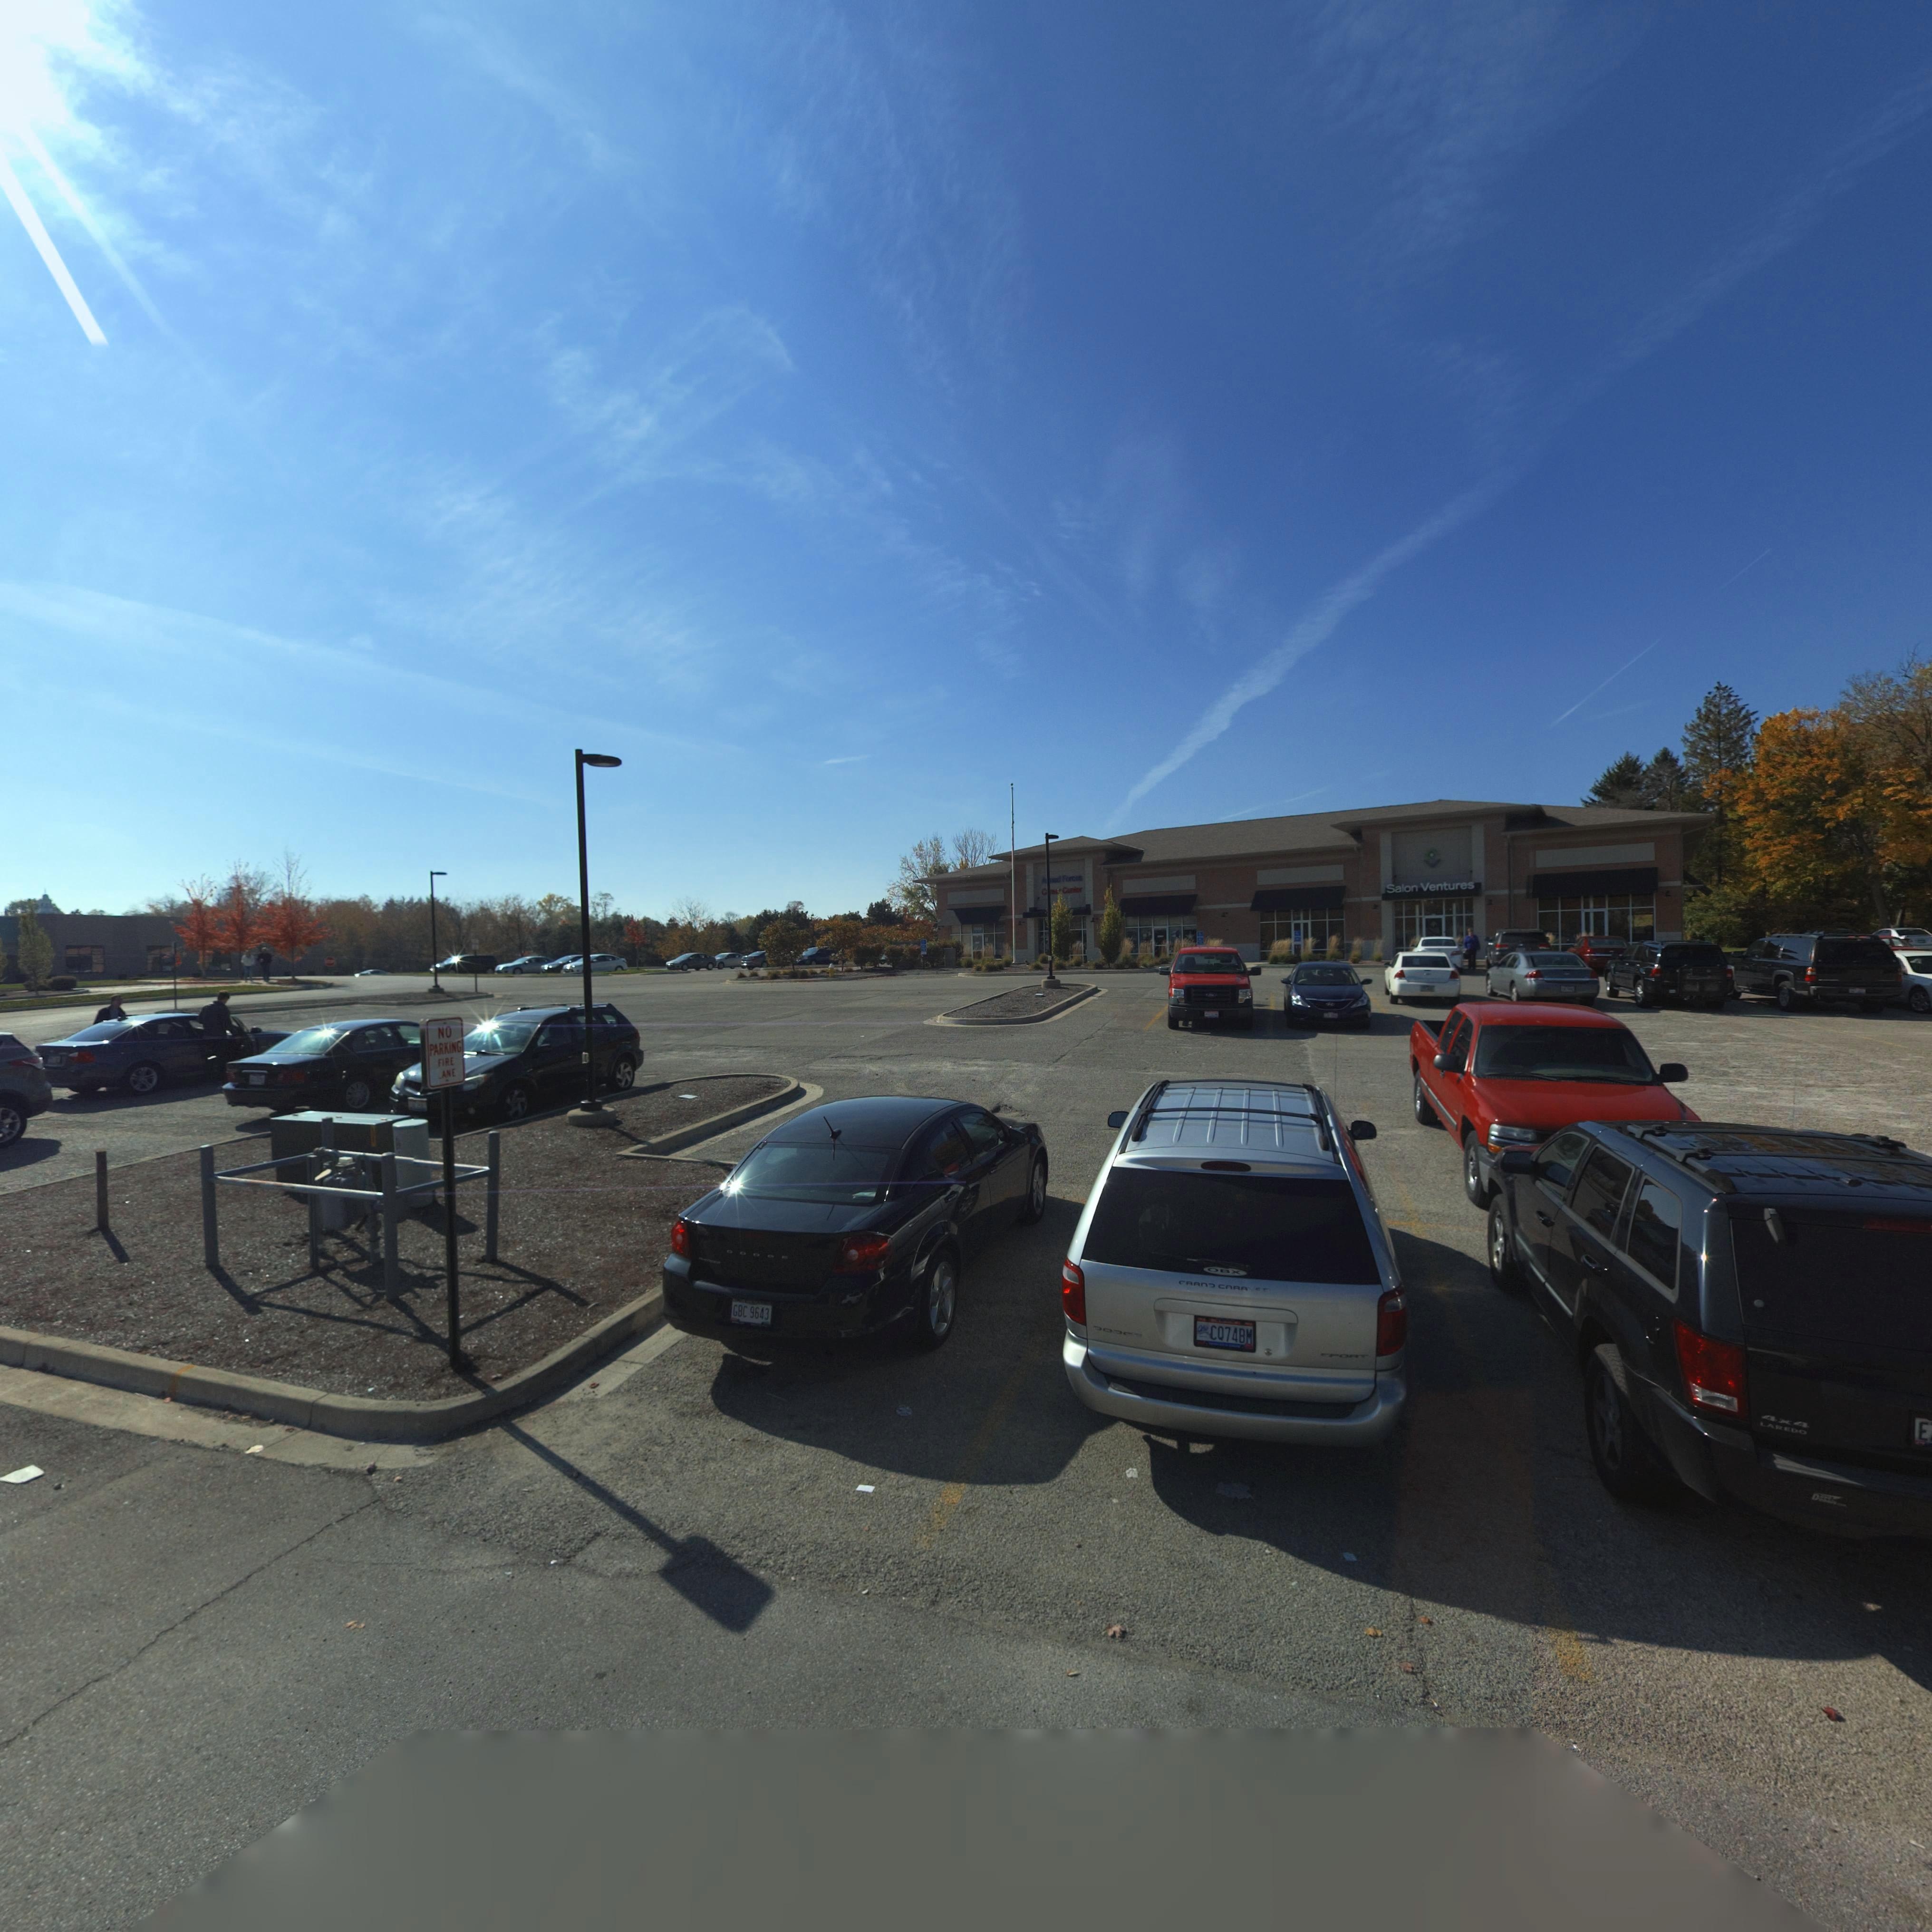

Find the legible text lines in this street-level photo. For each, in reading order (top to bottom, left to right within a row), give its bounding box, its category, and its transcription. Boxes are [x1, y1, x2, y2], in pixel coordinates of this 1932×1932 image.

[1041, 887, 1048, 896] BusinessName: C
[1062, 886, 1068, 895] BusinessName: C
[1386, 880, 1476, 895] BusinessName: Salon Ventures
[1338, 1353, 1350, 1360] None: O